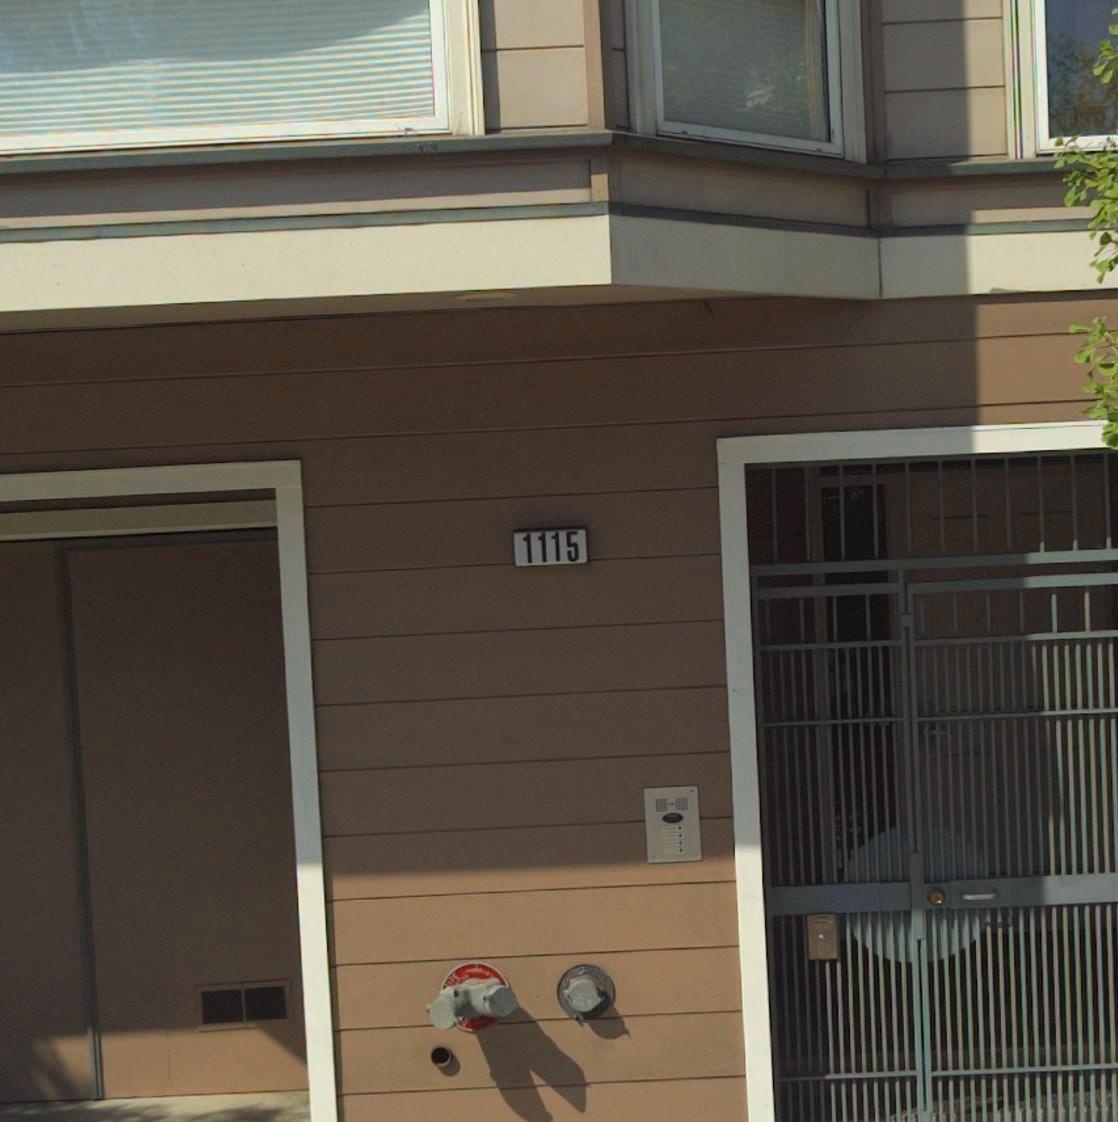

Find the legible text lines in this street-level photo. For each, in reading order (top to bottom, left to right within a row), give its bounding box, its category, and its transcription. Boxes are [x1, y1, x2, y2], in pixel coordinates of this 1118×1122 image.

[520, 530, 581, 564] StreetNumber: 1115